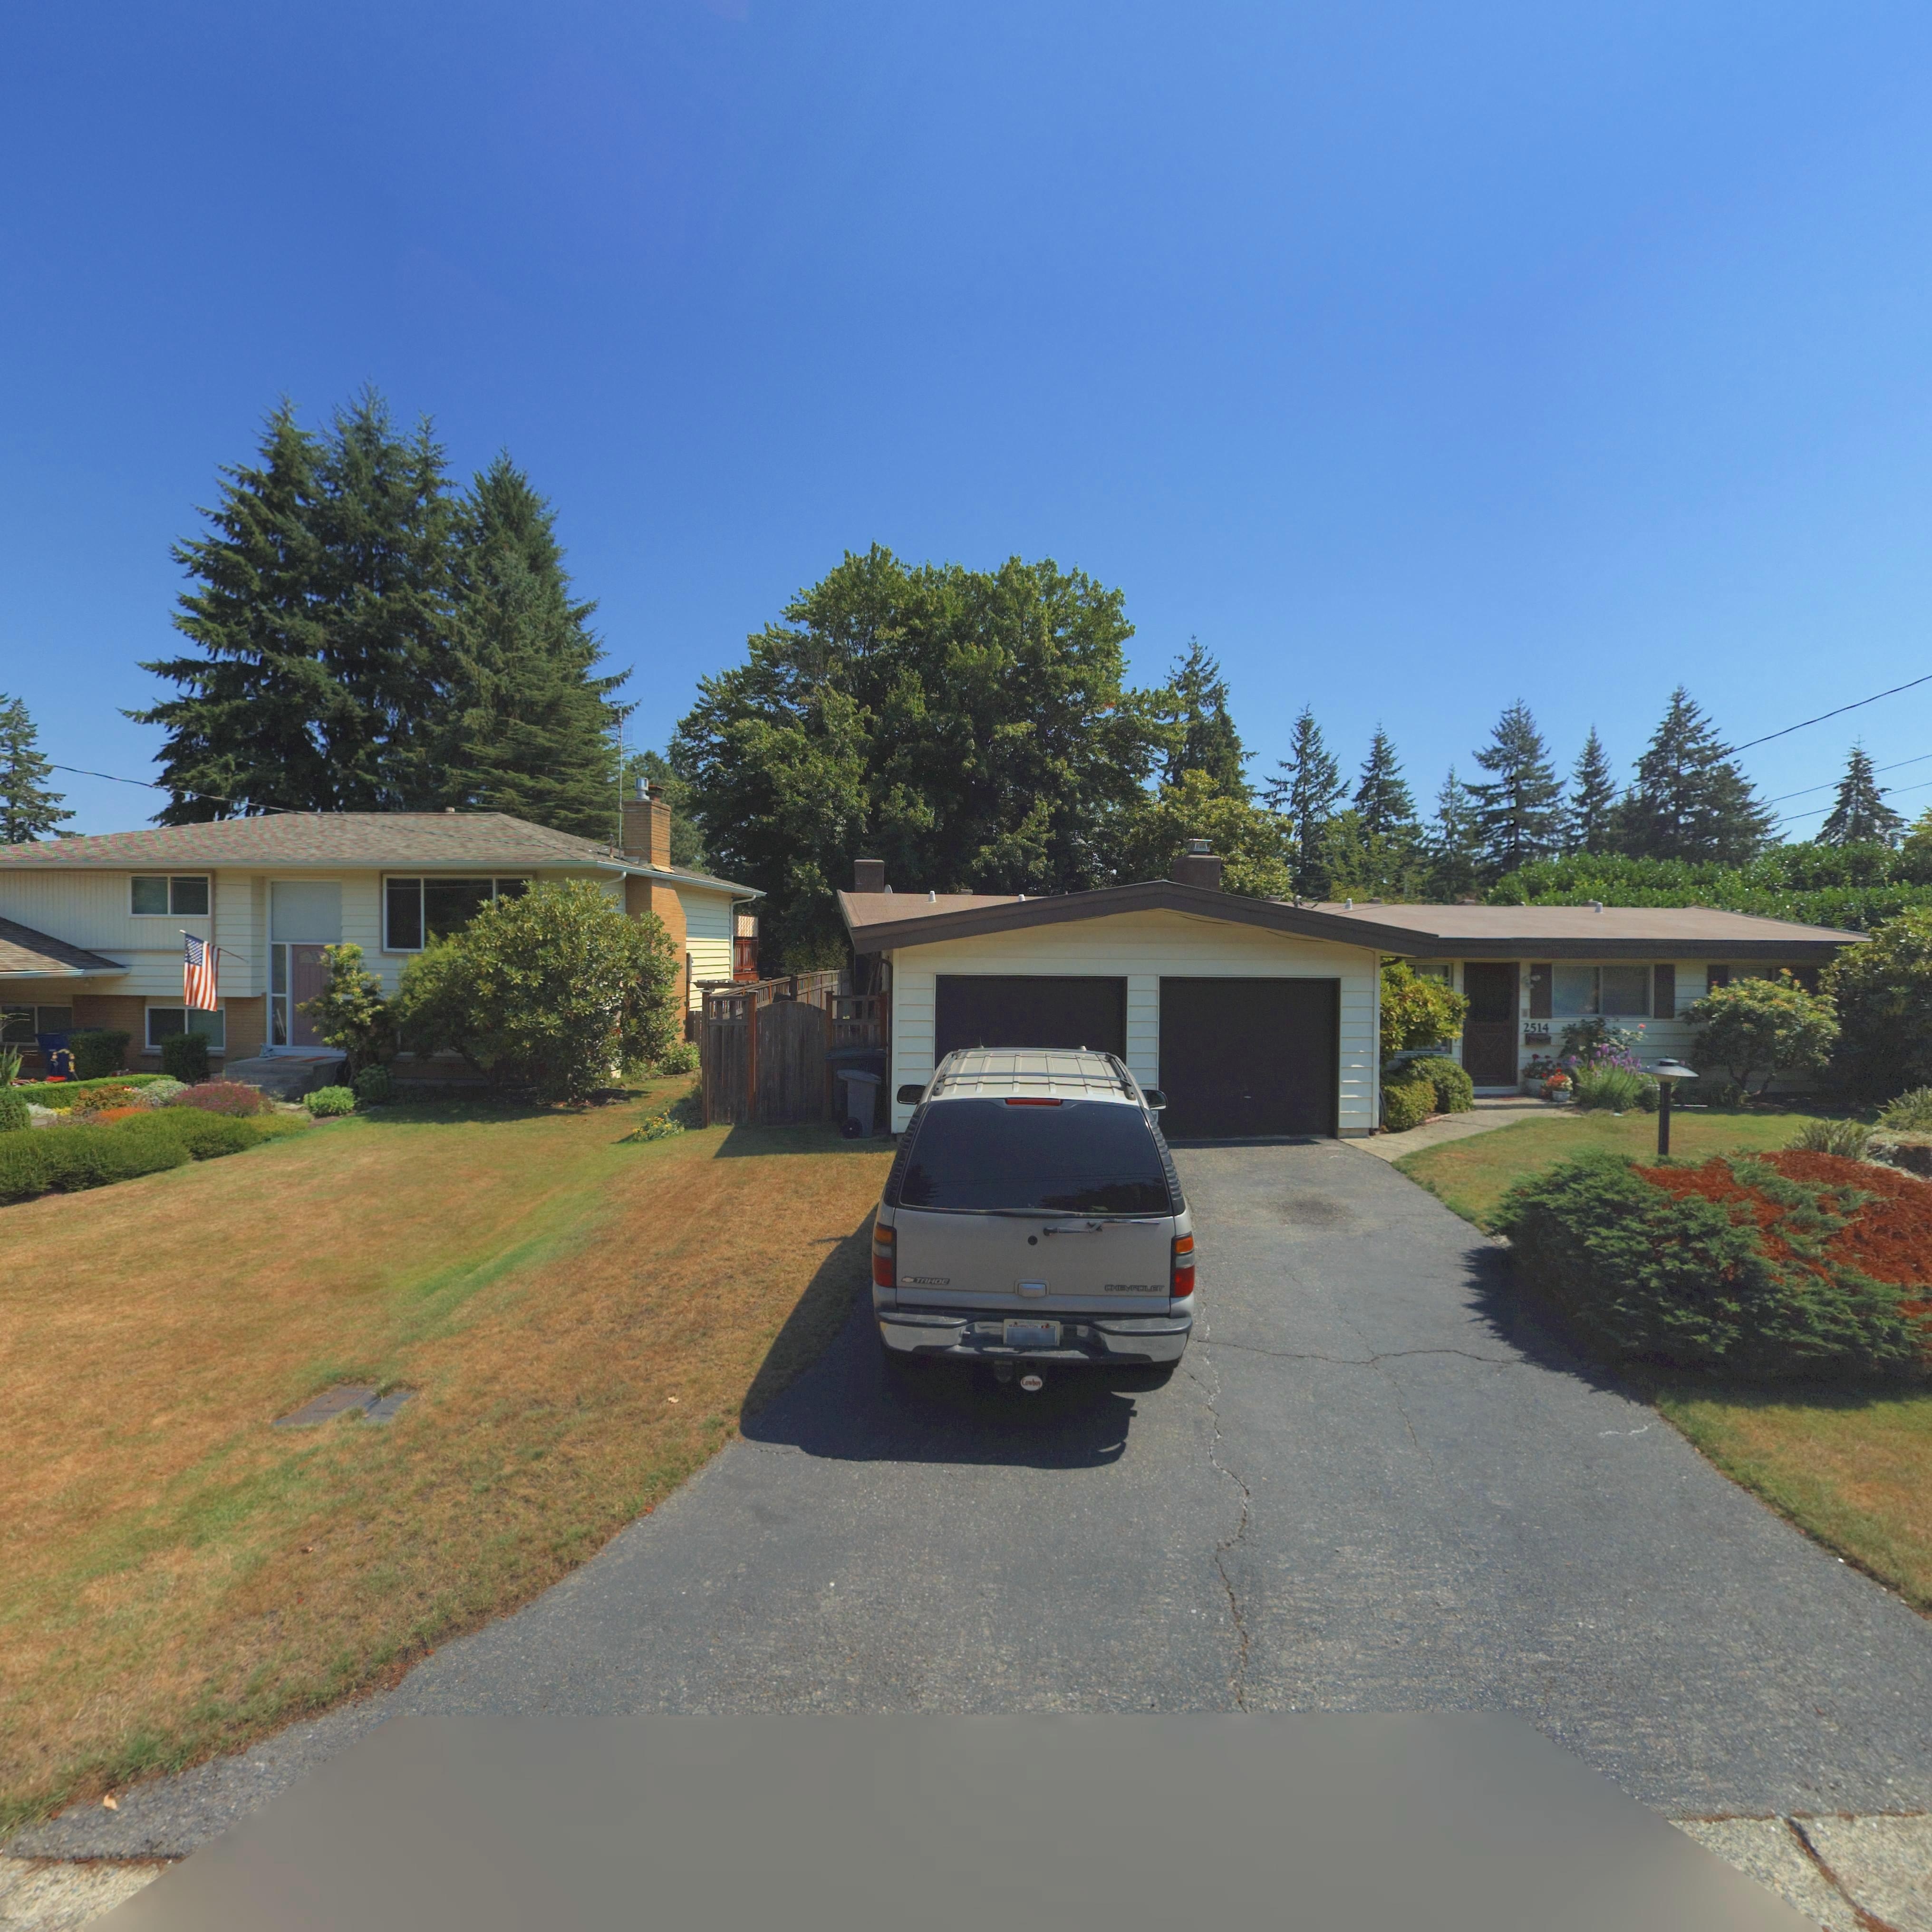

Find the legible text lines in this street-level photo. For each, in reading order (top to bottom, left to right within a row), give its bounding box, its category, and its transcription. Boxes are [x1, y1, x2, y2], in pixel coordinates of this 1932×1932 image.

[1522, 1022, 1550, 1033] StreetNumber: 2514